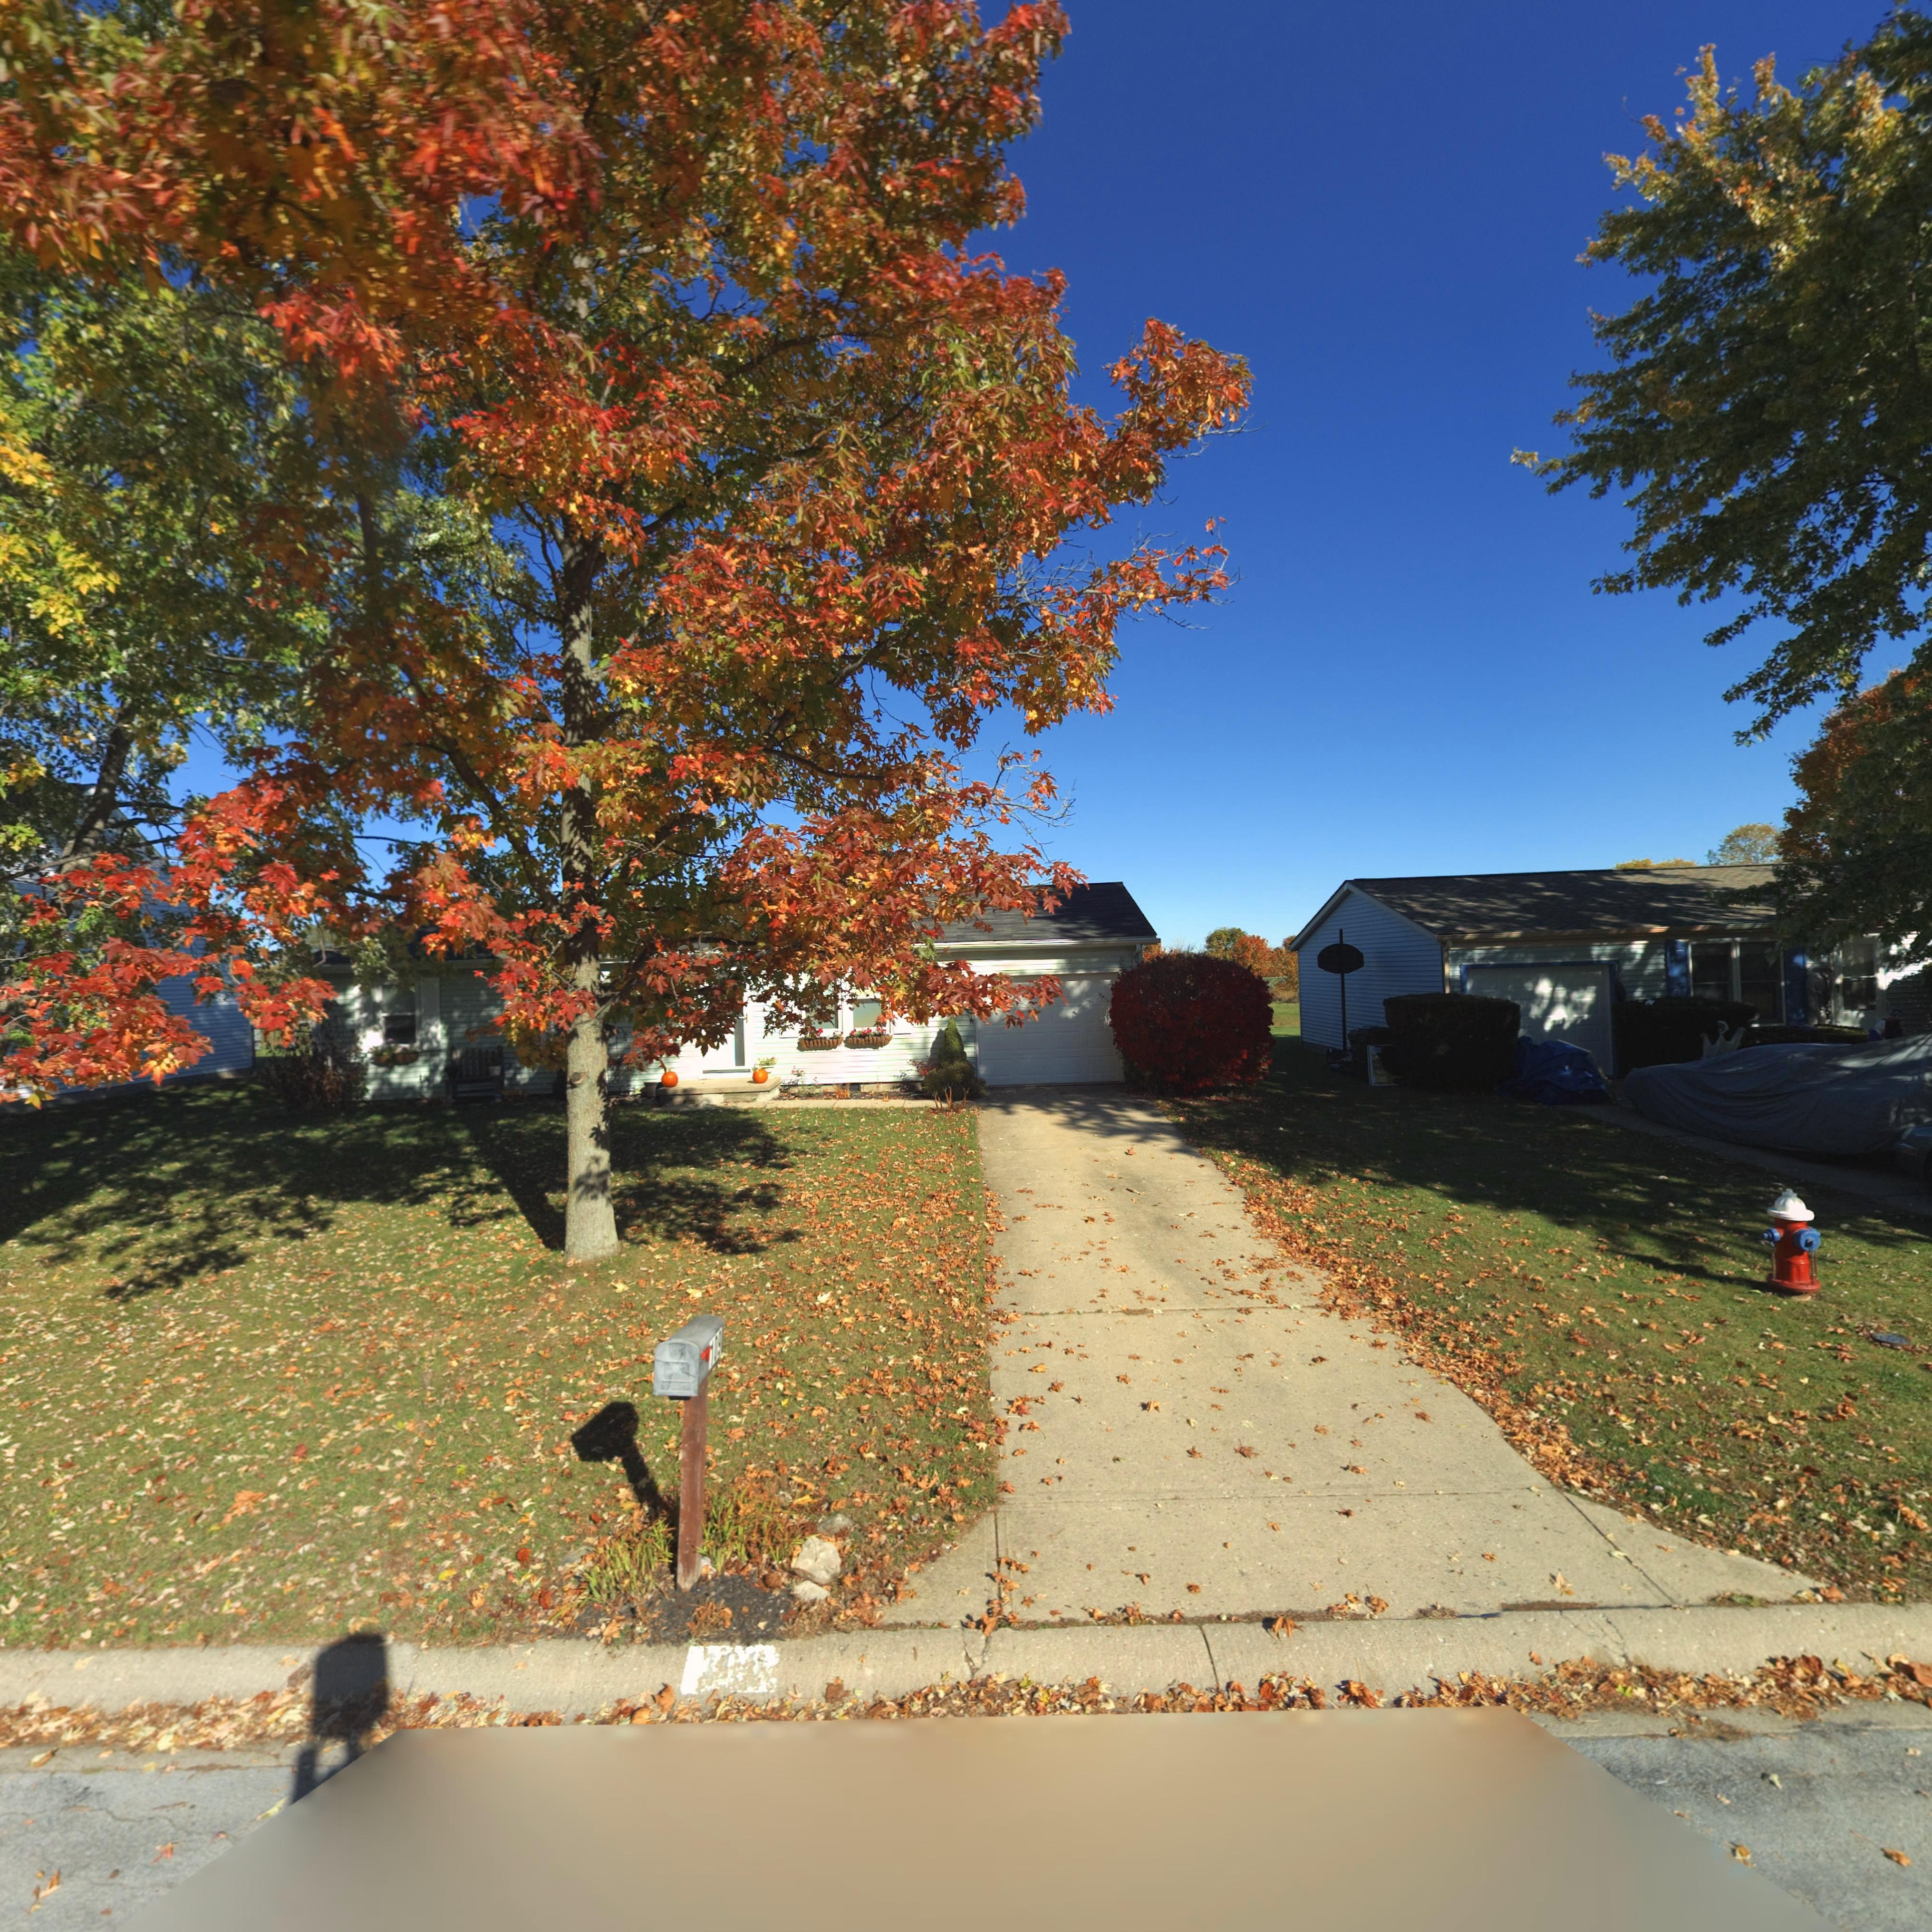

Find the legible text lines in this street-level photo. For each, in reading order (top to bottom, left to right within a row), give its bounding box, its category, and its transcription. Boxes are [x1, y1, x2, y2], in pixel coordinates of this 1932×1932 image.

[709, 1326, 723, 1368] StreetNumber: 109